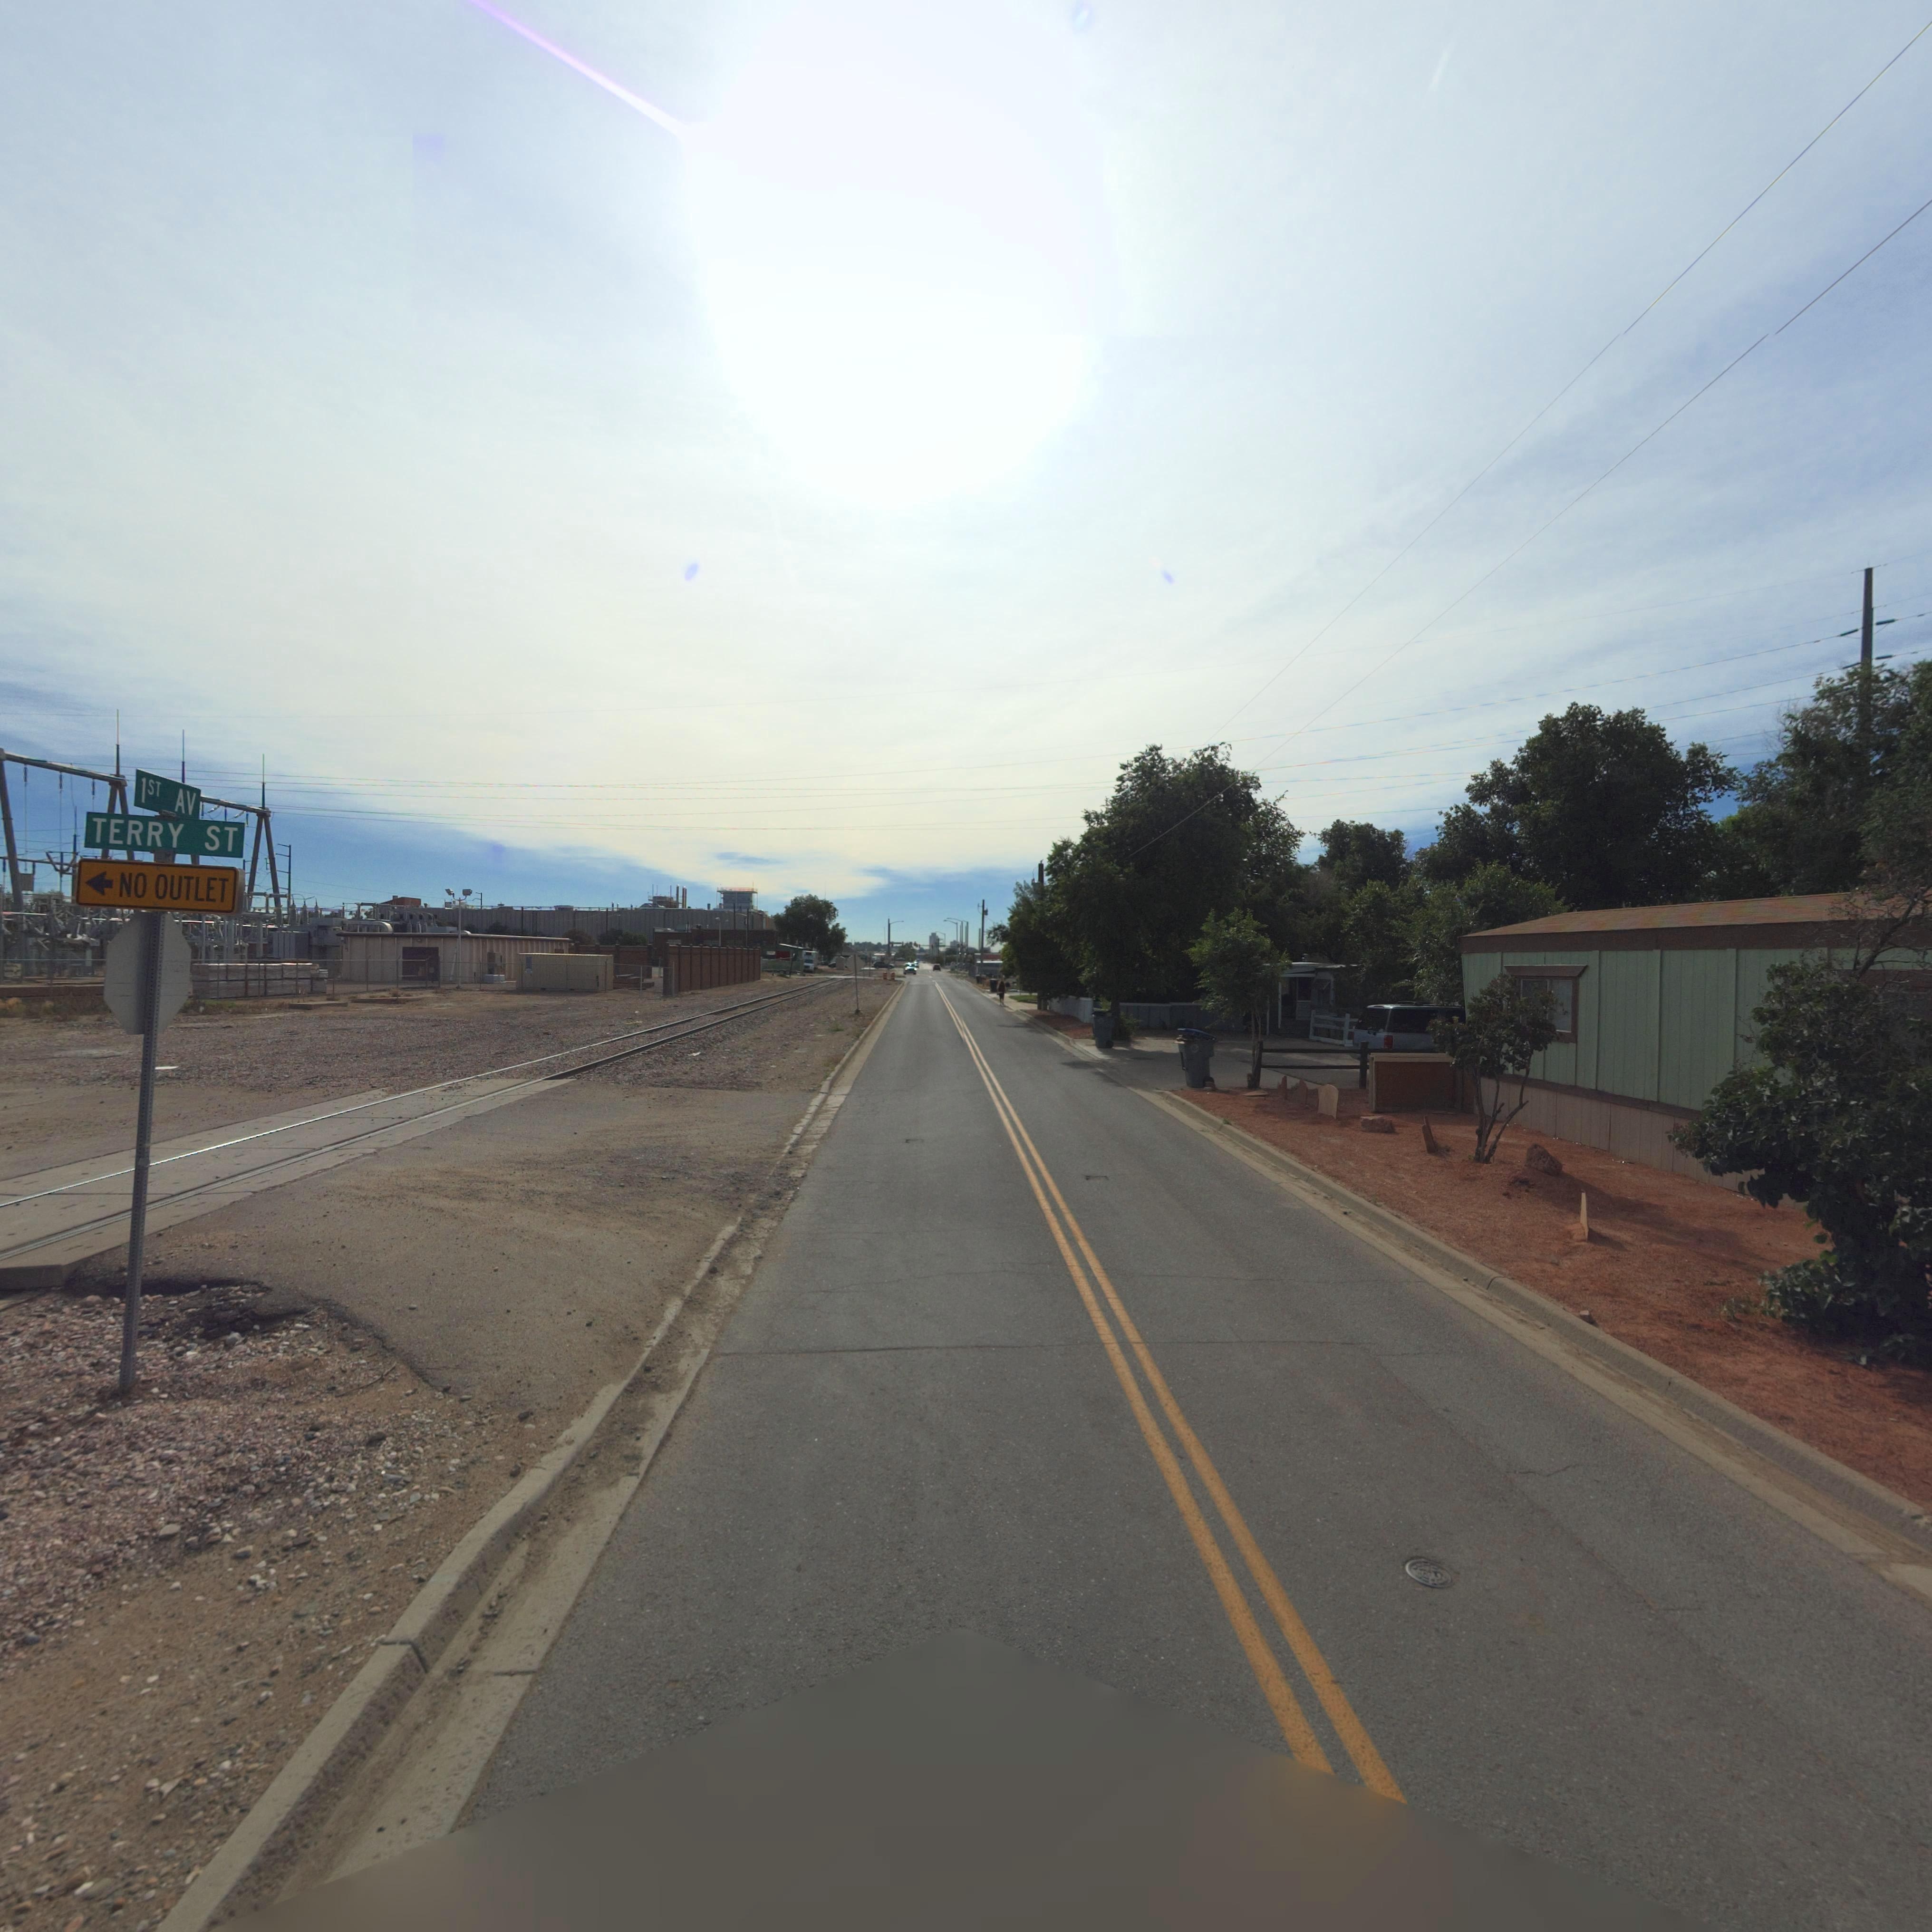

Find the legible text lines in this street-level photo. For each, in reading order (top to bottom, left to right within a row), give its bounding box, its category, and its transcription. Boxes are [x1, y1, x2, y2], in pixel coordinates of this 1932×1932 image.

[139, 774, 198, 816] StreetName: 1st AV
[90, 815, 239, 852] StreetName: TERRY ST